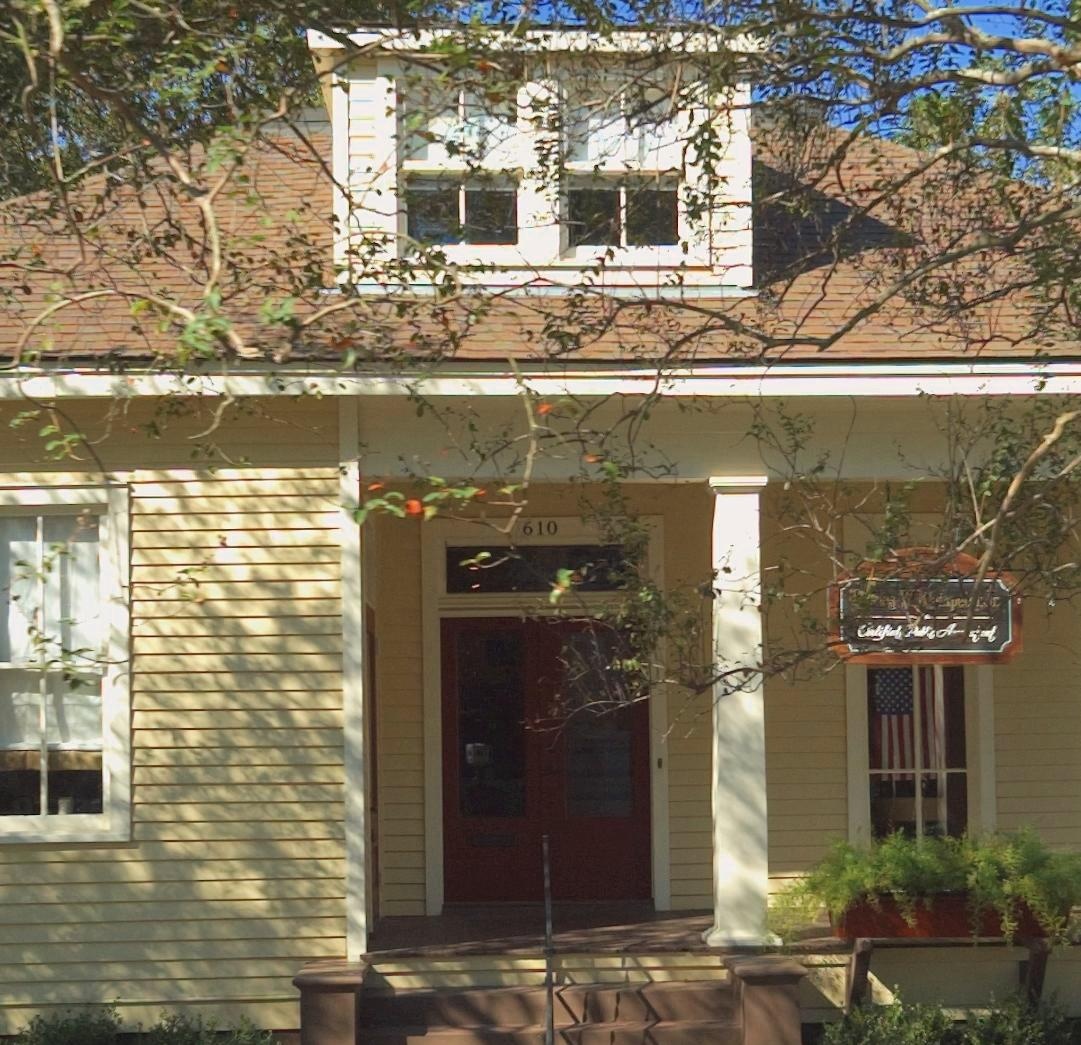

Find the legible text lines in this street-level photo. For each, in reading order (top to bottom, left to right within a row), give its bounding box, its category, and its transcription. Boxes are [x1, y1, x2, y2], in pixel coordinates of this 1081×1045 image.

[521, 519, 560, 537] StreetNumber: 610